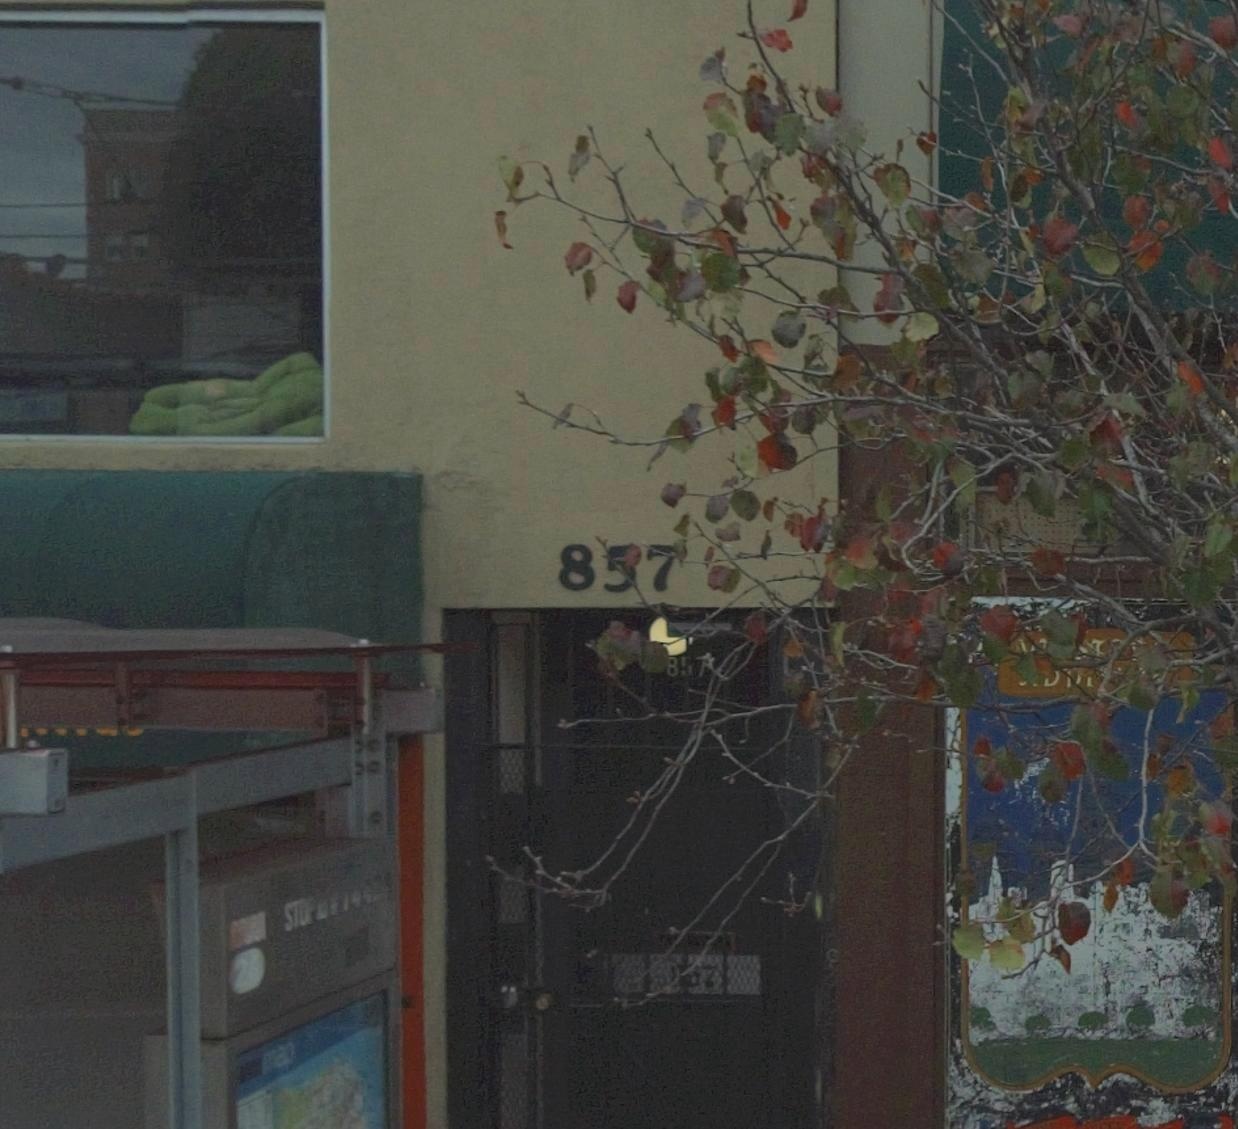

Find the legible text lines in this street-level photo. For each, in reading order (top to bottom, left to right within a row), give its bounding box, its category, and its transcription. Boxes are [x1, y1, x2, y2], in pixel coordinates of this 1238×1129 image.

[556, 542, 677, 594] StreetNumber: 857
[666, 654, 711, 679] StreetNumber: 857
[283, 893, 317, 934] None: STO*
[669, 963, 720, 990] StreetNumber: **7
[261, 1039, 298, 1078] None: MAP